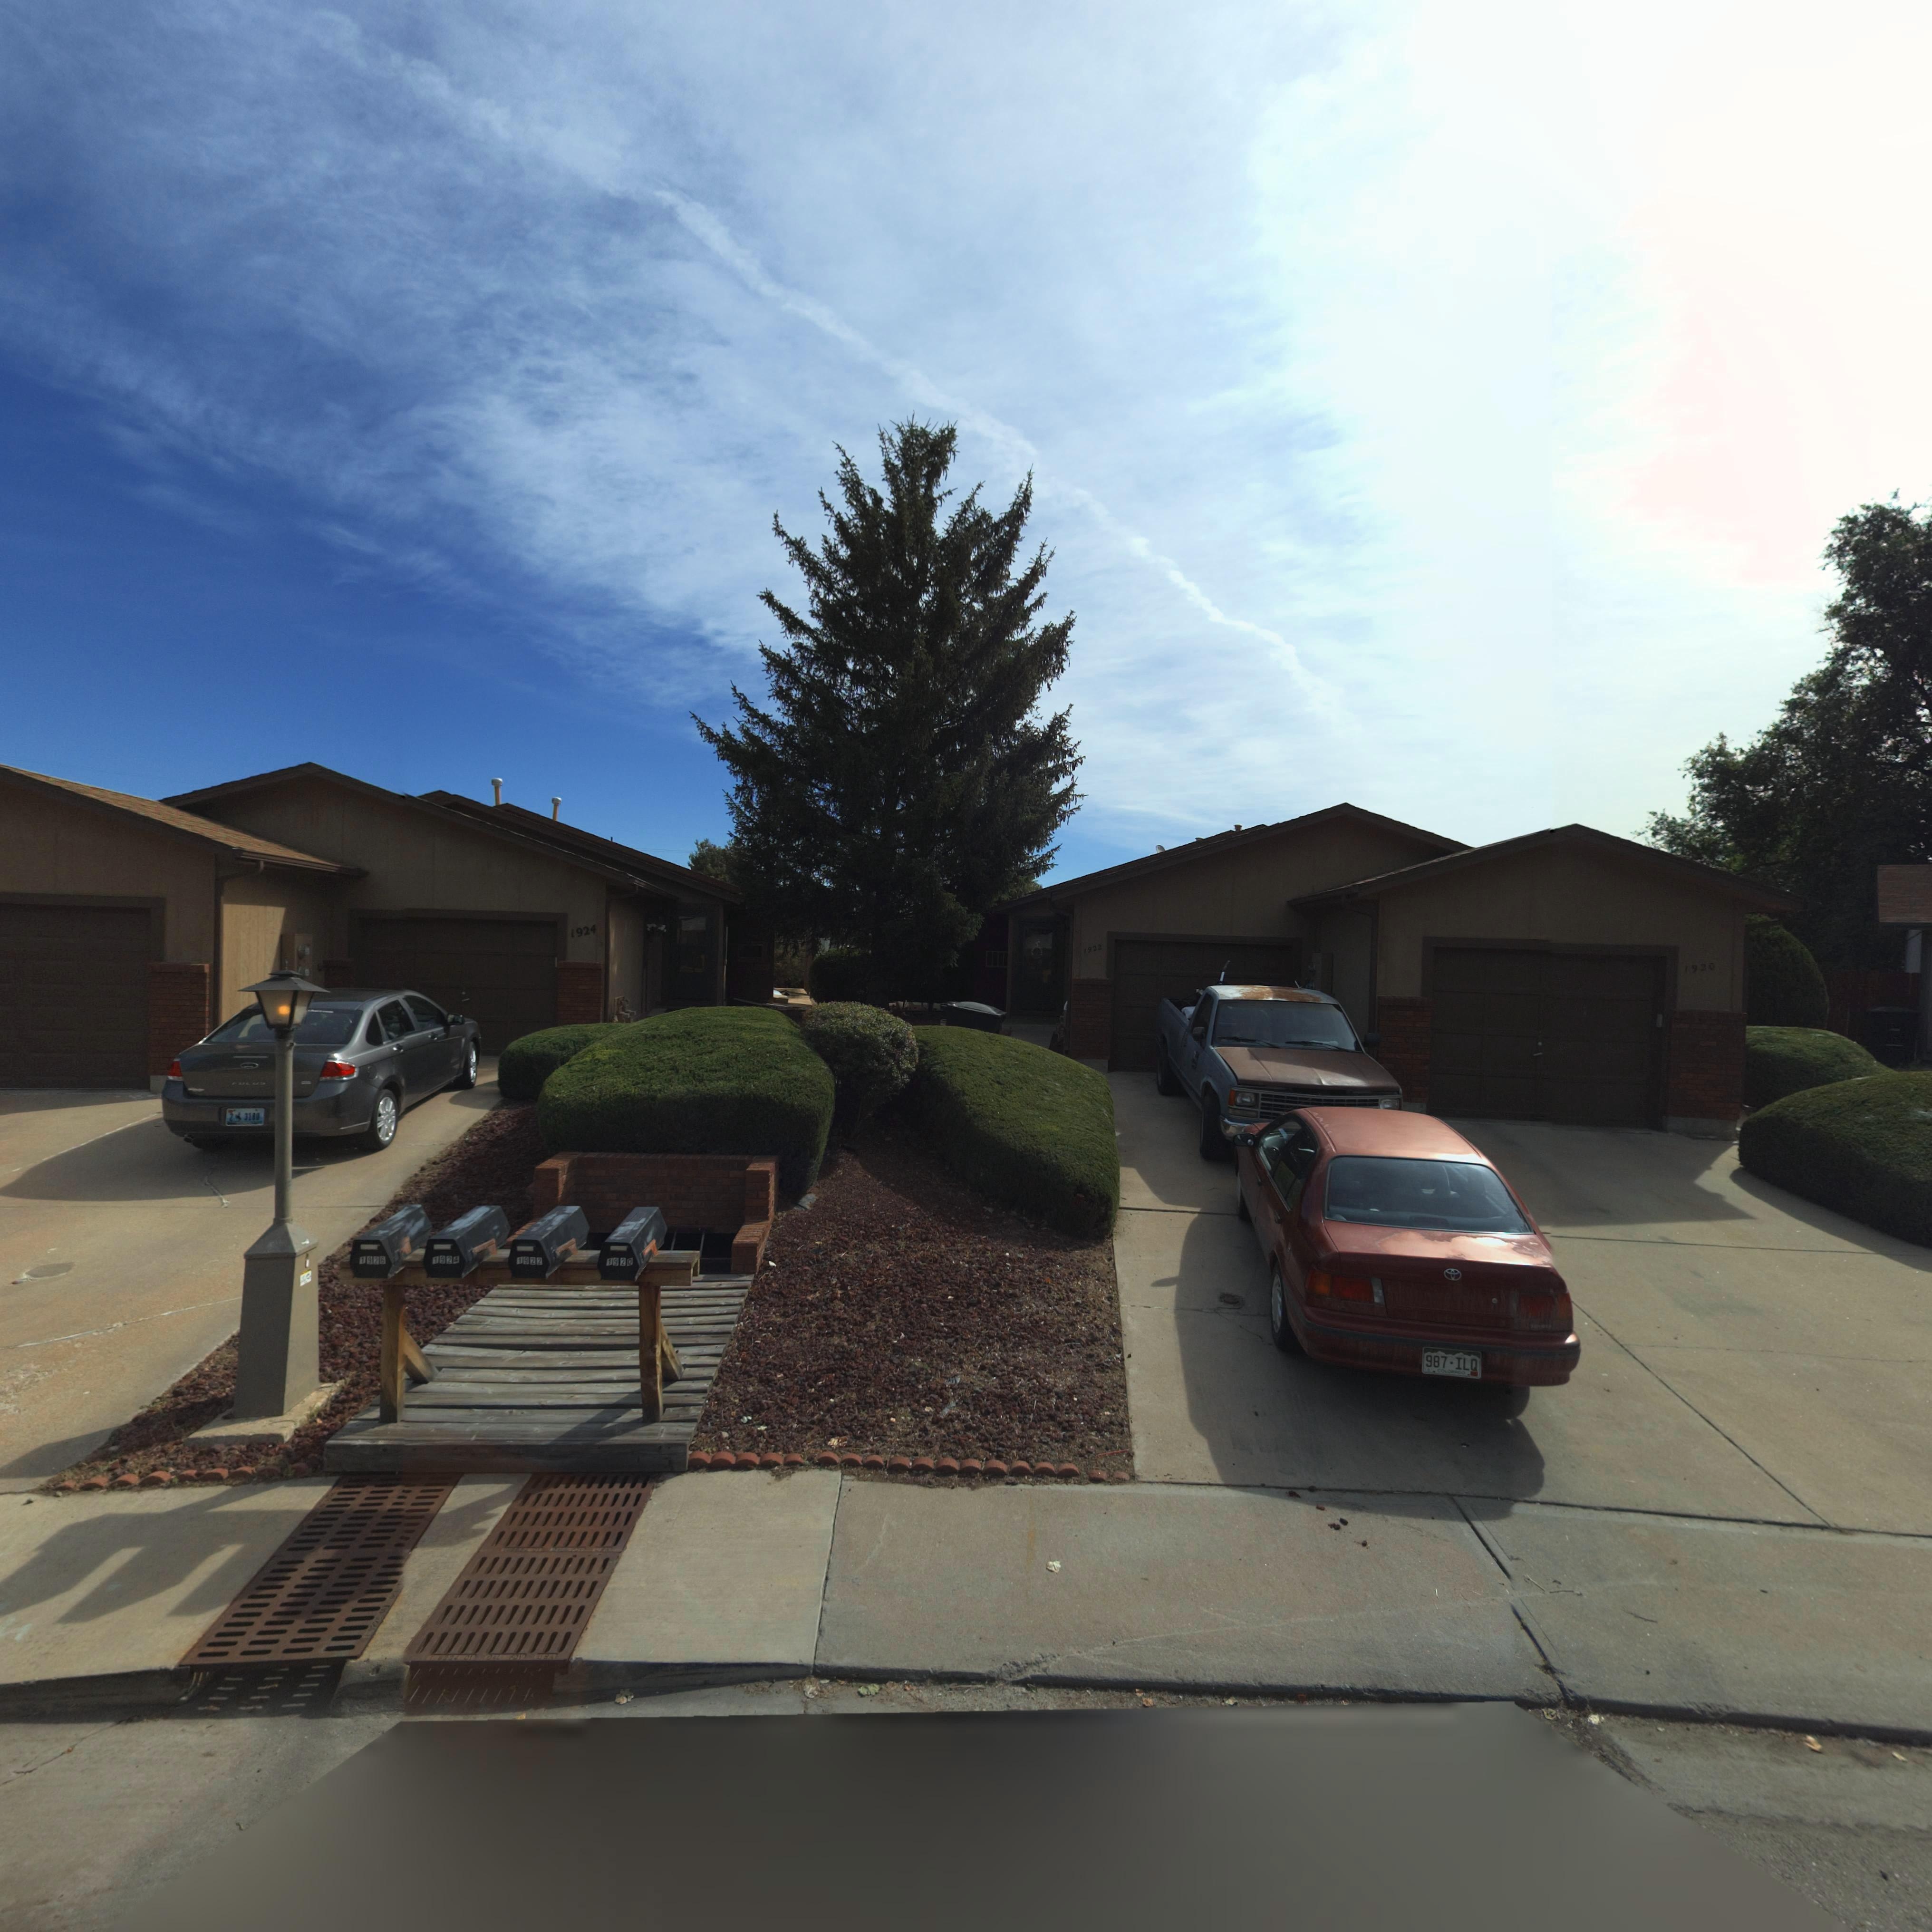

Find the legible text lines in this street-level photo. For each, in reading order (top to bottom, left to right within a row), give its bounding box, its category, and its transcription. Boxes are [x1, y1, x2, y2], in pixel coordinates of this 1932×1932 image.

[570, 923, 597, 938] StreetNumber: 1924
[1083, 943, 1102, 955] StreetNumber: 1922
[1684, 962, 1716, 974] StreetNumber: 1920
[361, 1256, 385, 1264] StreetNumber: 1926
[433, 1256, 459, 1264] StreetNumber: 1924
[517, 1256, 541, 1265] StreetNumber: 1922
[608, 1257, 632, 1265] StreetNumber: 1920